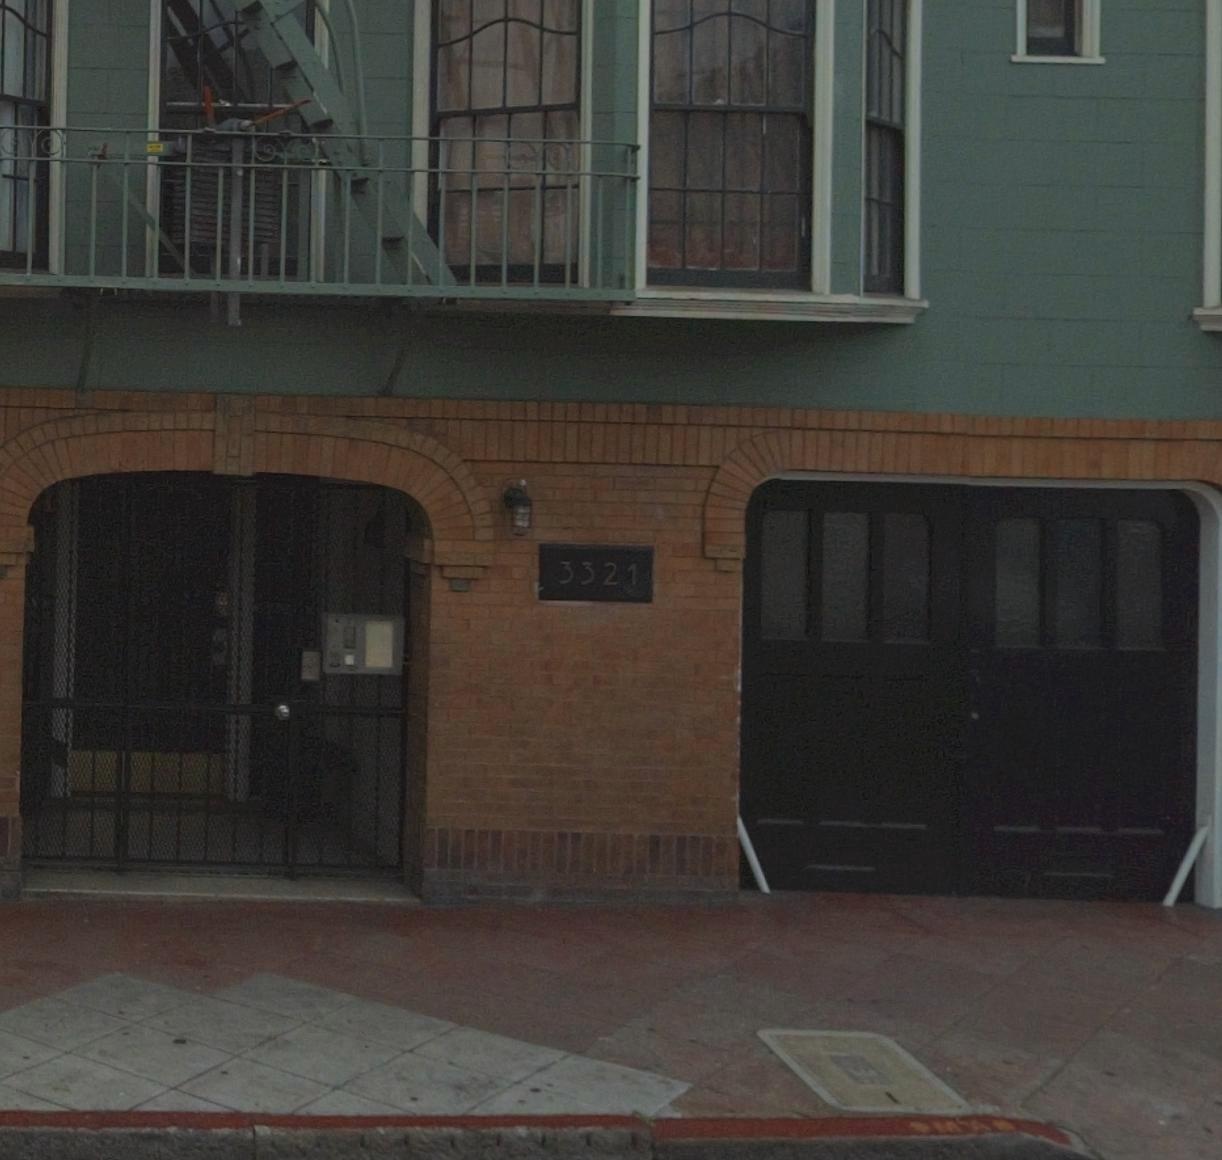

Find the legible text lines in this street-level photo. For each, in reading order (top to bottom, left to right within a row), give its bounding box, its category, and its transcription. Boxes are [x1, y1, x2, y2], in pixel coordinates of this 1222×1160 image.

[556, 559, 640, 587] StreetNumber: 3321